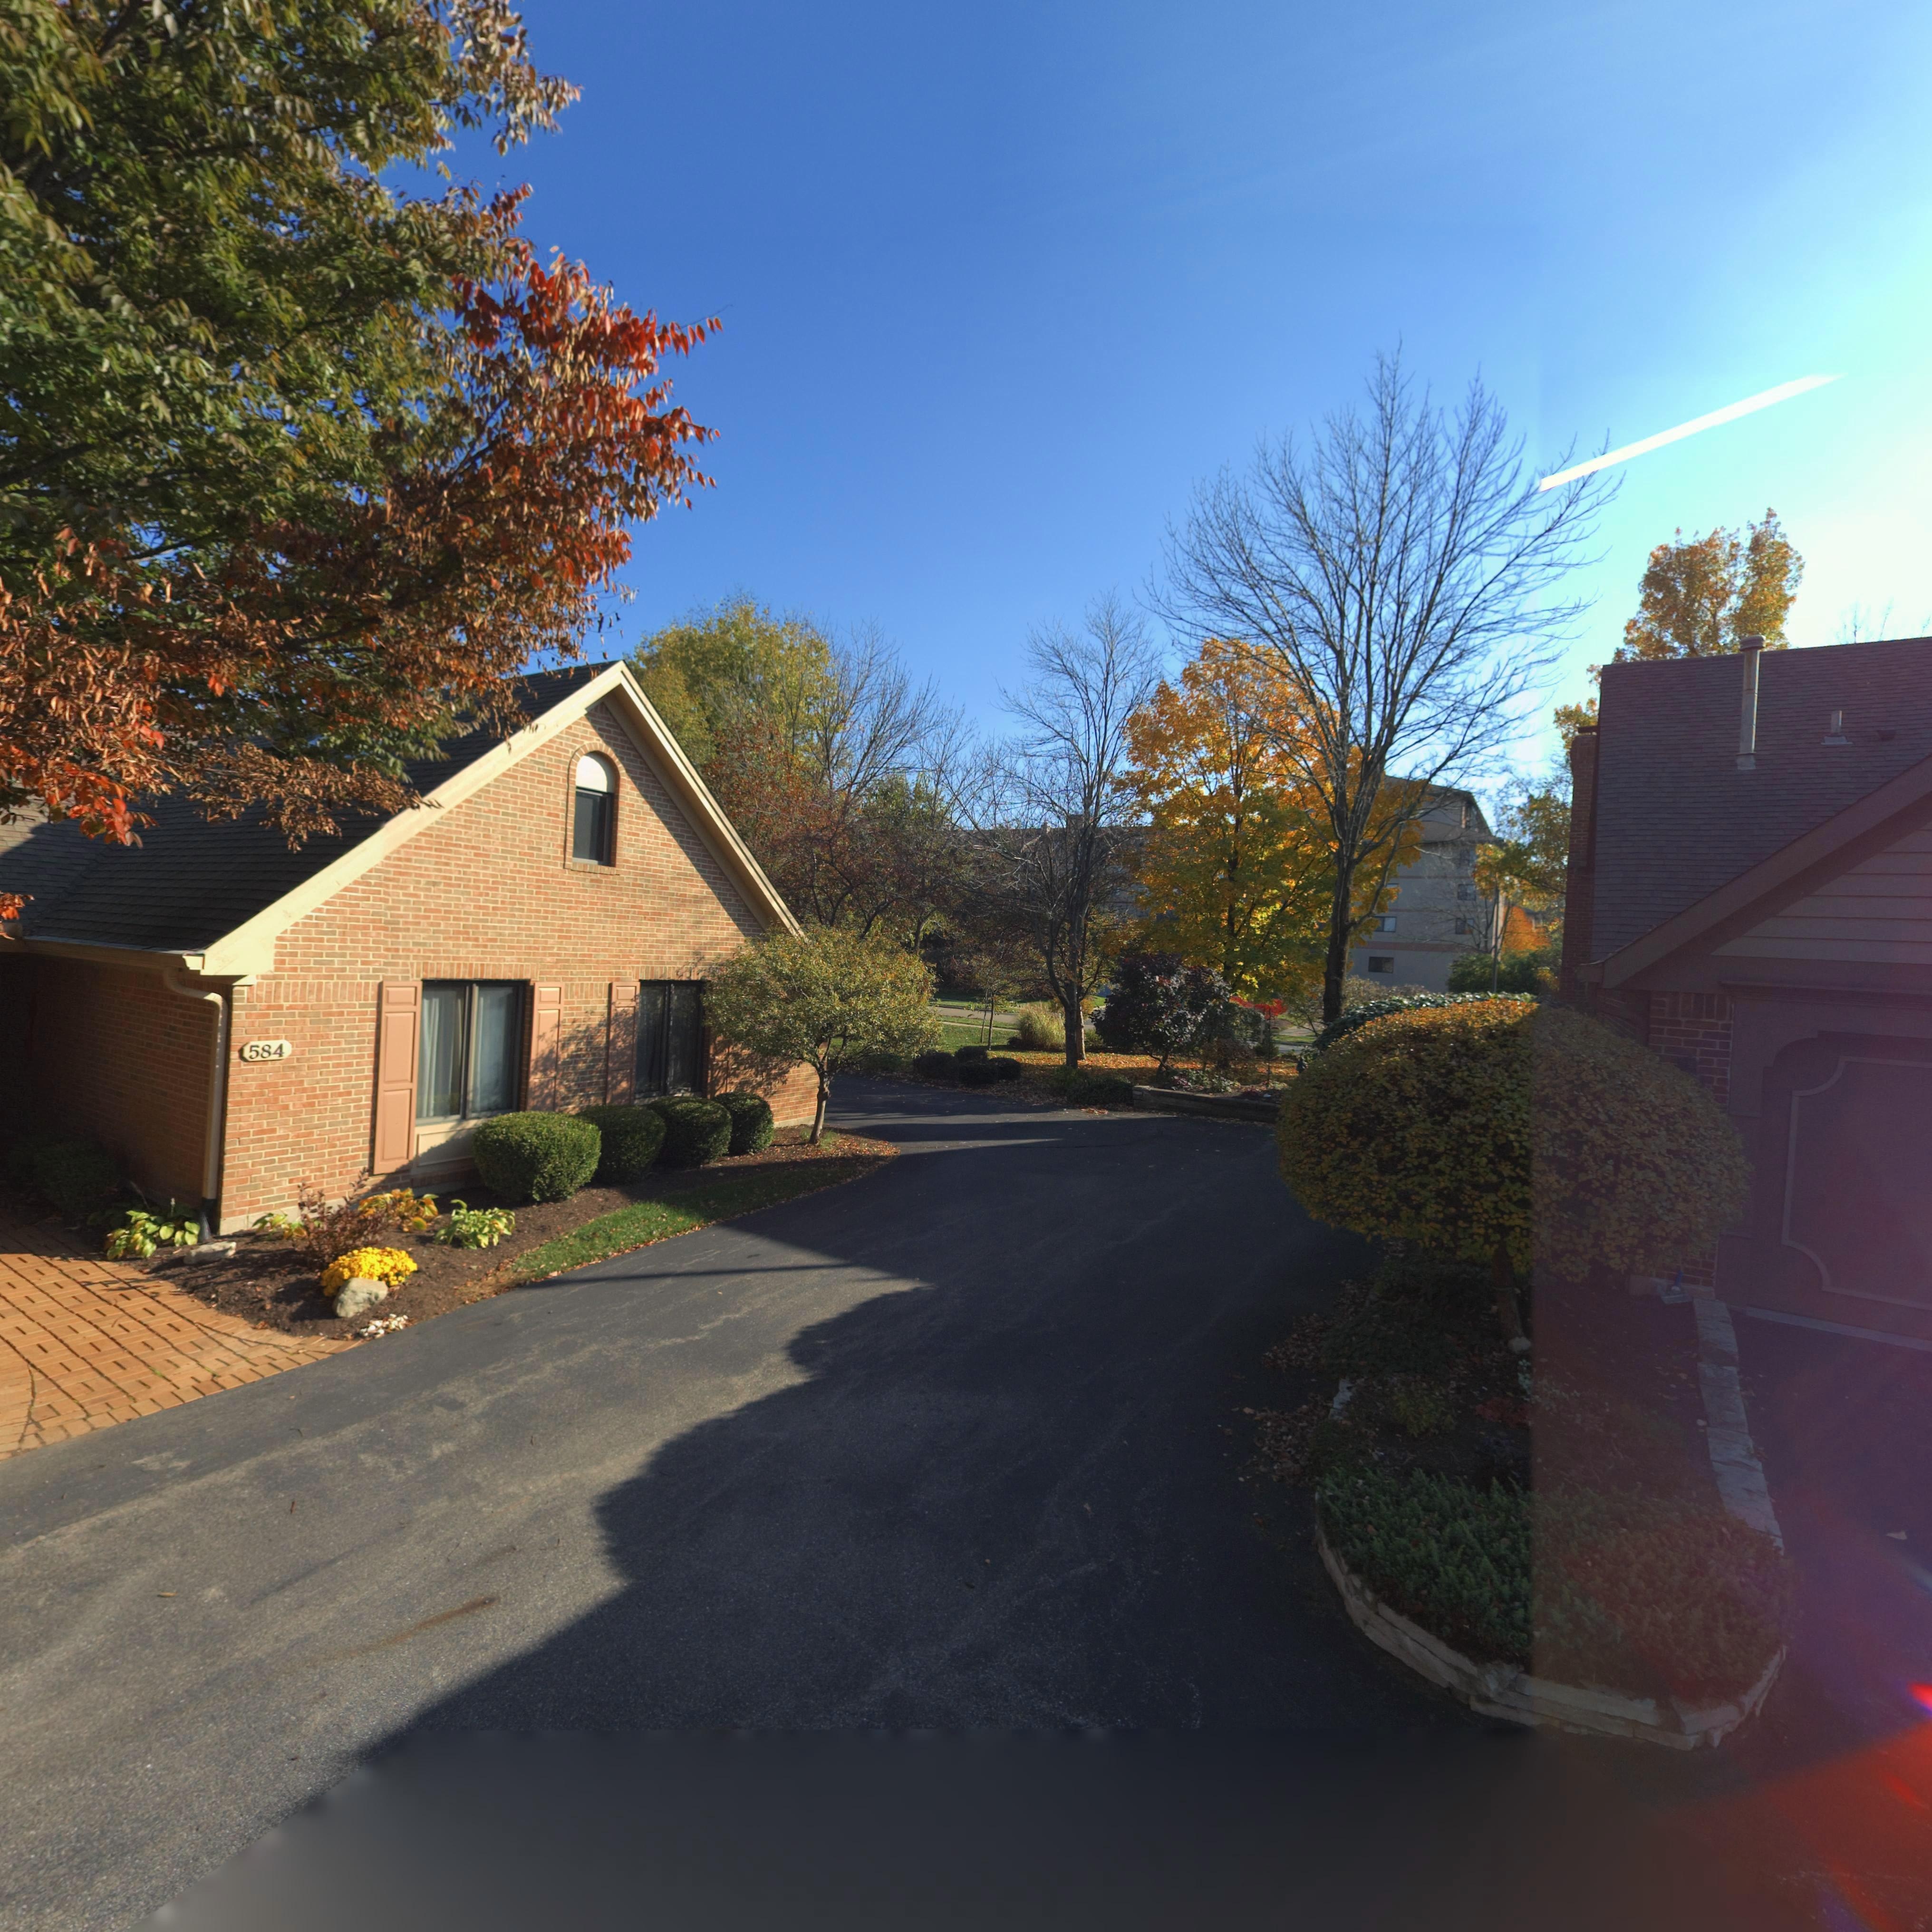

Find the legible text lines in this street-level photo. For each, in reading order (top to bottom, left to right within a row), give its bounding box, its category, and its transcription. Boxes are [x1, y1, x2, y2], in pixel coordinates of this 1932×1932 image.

[249, 1043, 286, 1060] StreetNumber: 584